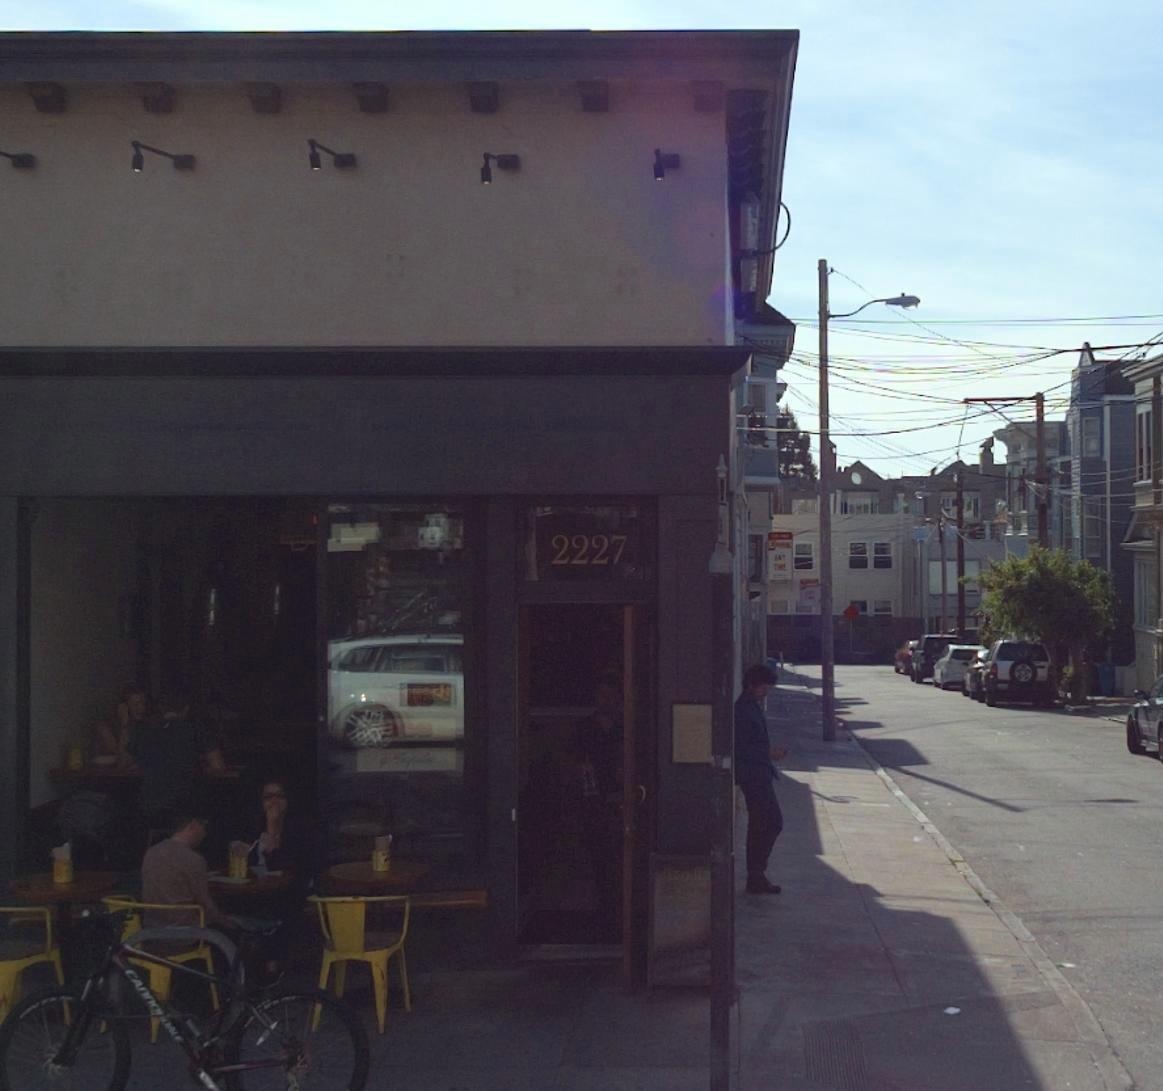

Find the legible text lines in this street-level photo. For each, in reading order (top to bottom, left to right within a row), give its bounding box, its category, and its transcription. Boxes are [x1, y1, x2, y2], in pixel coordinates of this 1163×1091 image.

[549, 532, 629, 568] StreetNumber: 2227